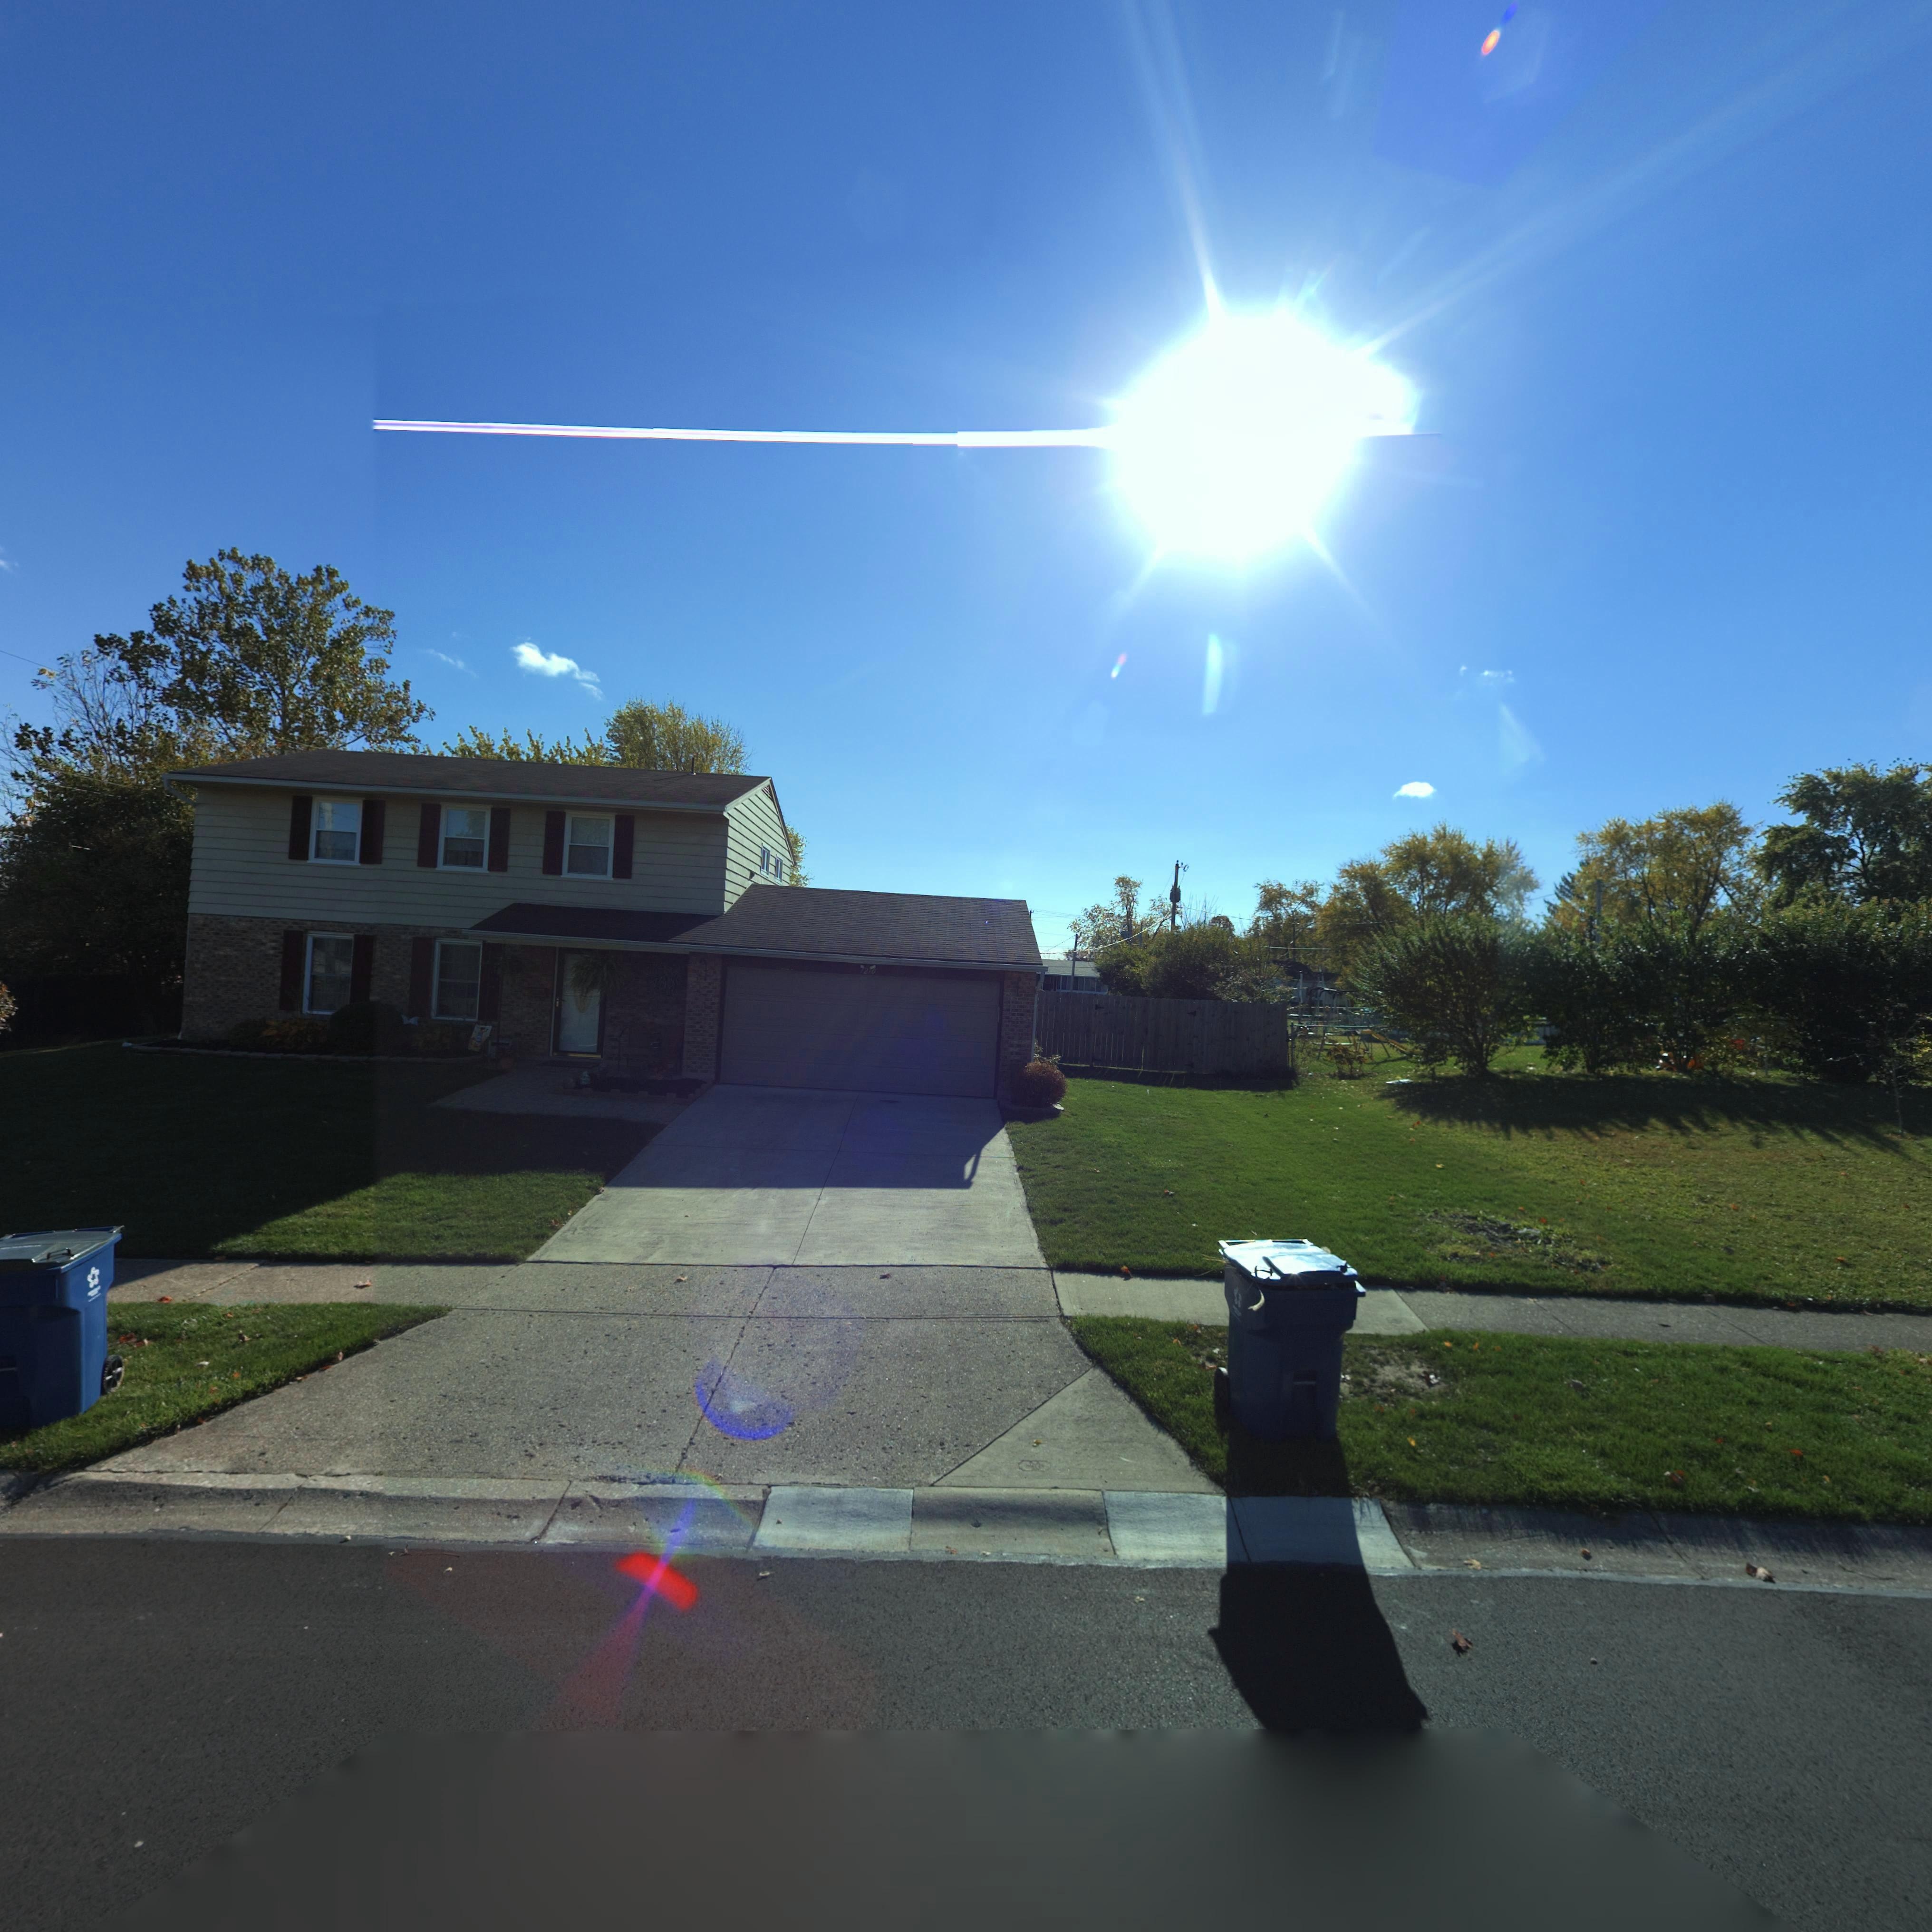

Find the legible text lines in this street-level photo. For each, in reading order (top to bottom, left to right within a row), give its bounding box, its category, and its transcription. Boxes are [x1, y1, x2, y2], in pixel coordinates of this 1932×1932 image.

[859, 967, 877, 976] StreetNumber: *2*0